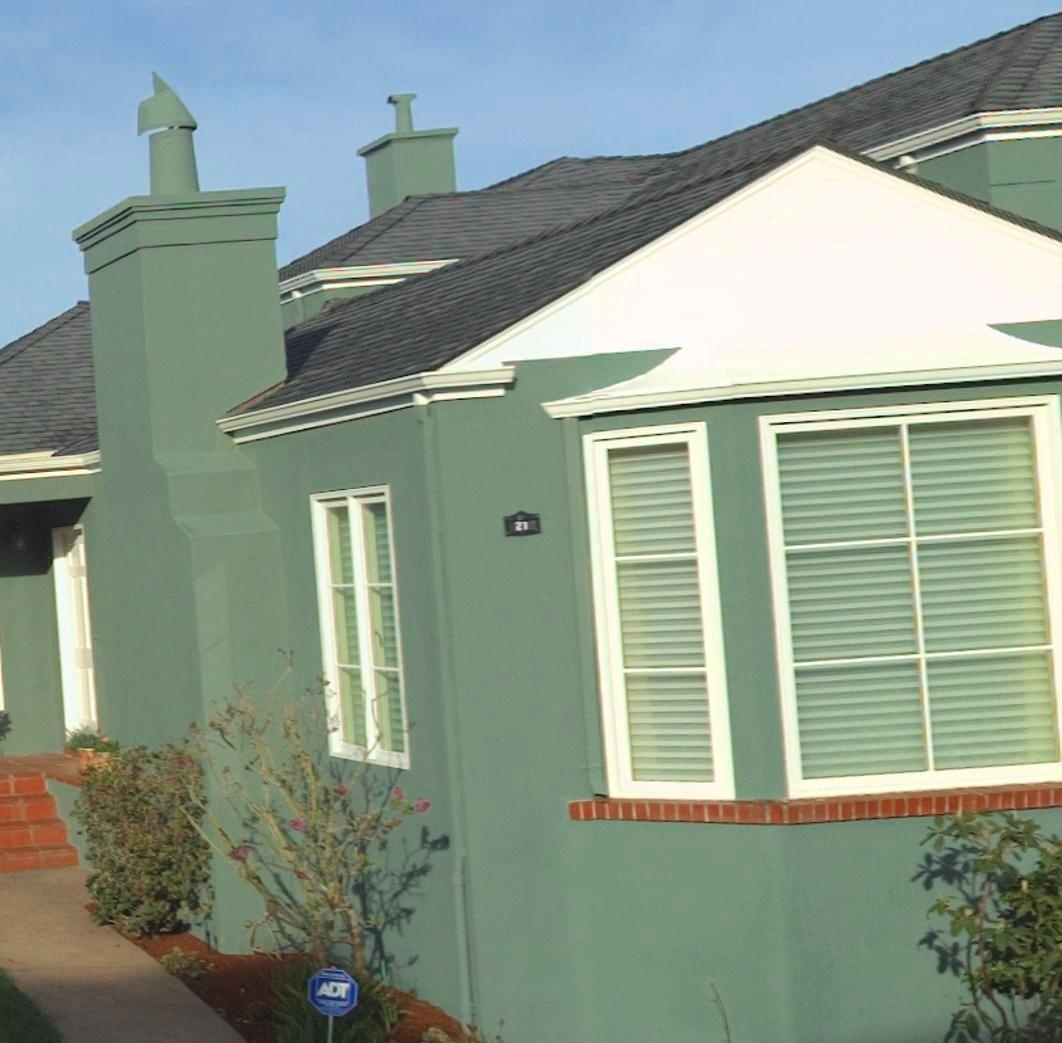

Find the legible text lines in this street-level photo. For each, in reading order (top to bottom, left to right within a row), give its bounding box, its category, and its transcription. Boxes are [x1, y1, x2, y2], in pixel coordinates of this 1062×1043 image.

[512, 519, 531, 534] StreetNumber: 21
[314, 979, 353, 1001] None: ADT